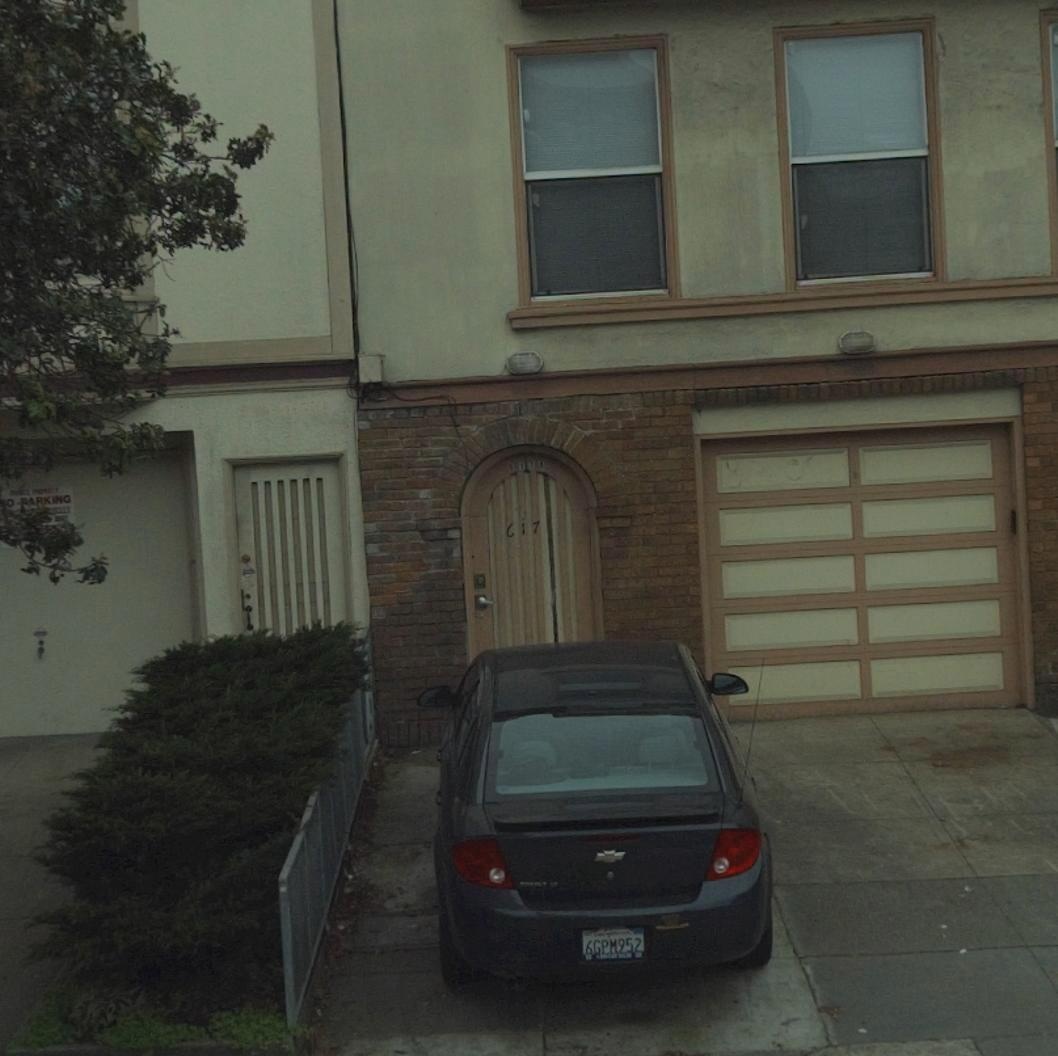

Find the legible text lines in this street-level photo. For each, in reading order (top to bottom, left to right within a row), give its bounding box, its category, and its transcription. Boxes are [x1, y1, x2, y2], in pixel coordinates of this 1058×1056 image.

[35, 493, 72, 507] None: RKING
[503, 517, 542, 540] StreetNumber: 617
[583, 935, 644, 958] None: 6GPM952